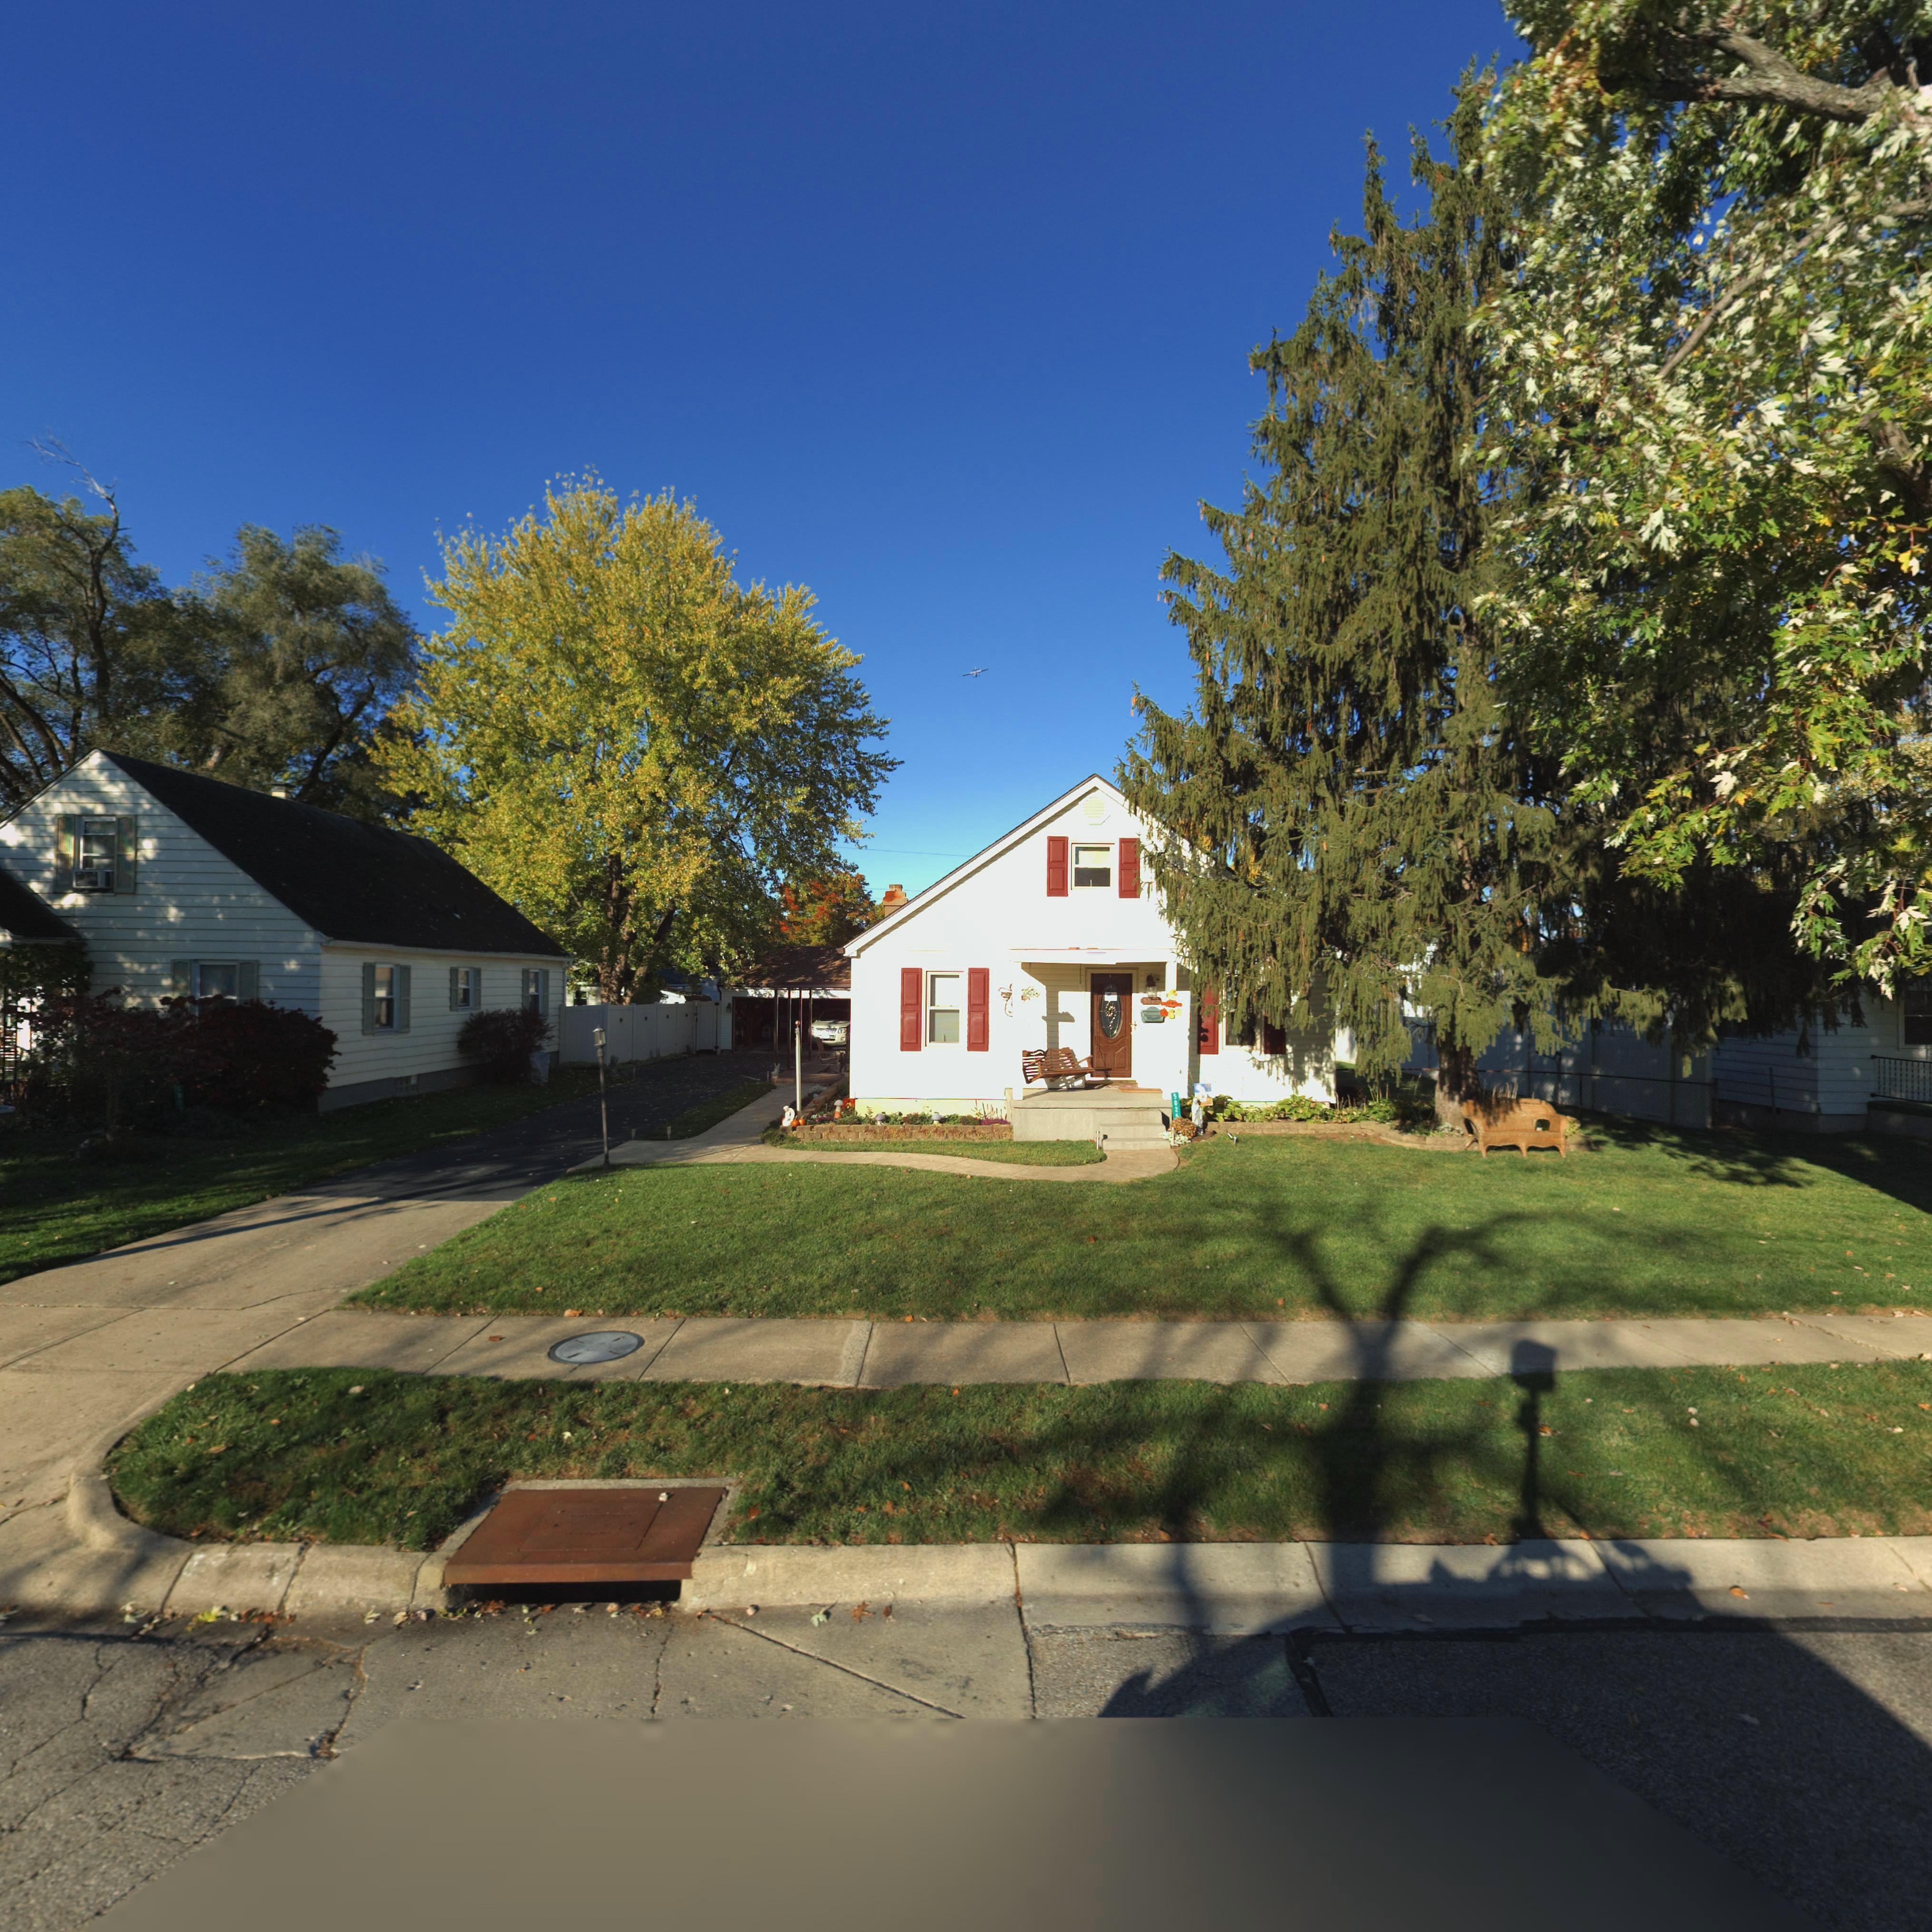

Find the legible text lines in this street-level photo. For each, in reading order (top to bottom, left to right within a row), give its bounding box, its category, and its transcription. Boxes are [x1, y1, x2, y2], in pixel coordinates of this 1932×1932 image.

[1143, 997, 1160, 1004] StreetNumber: 50**
[1172, 1093, 1179, 1120] StreetNumber: 502*